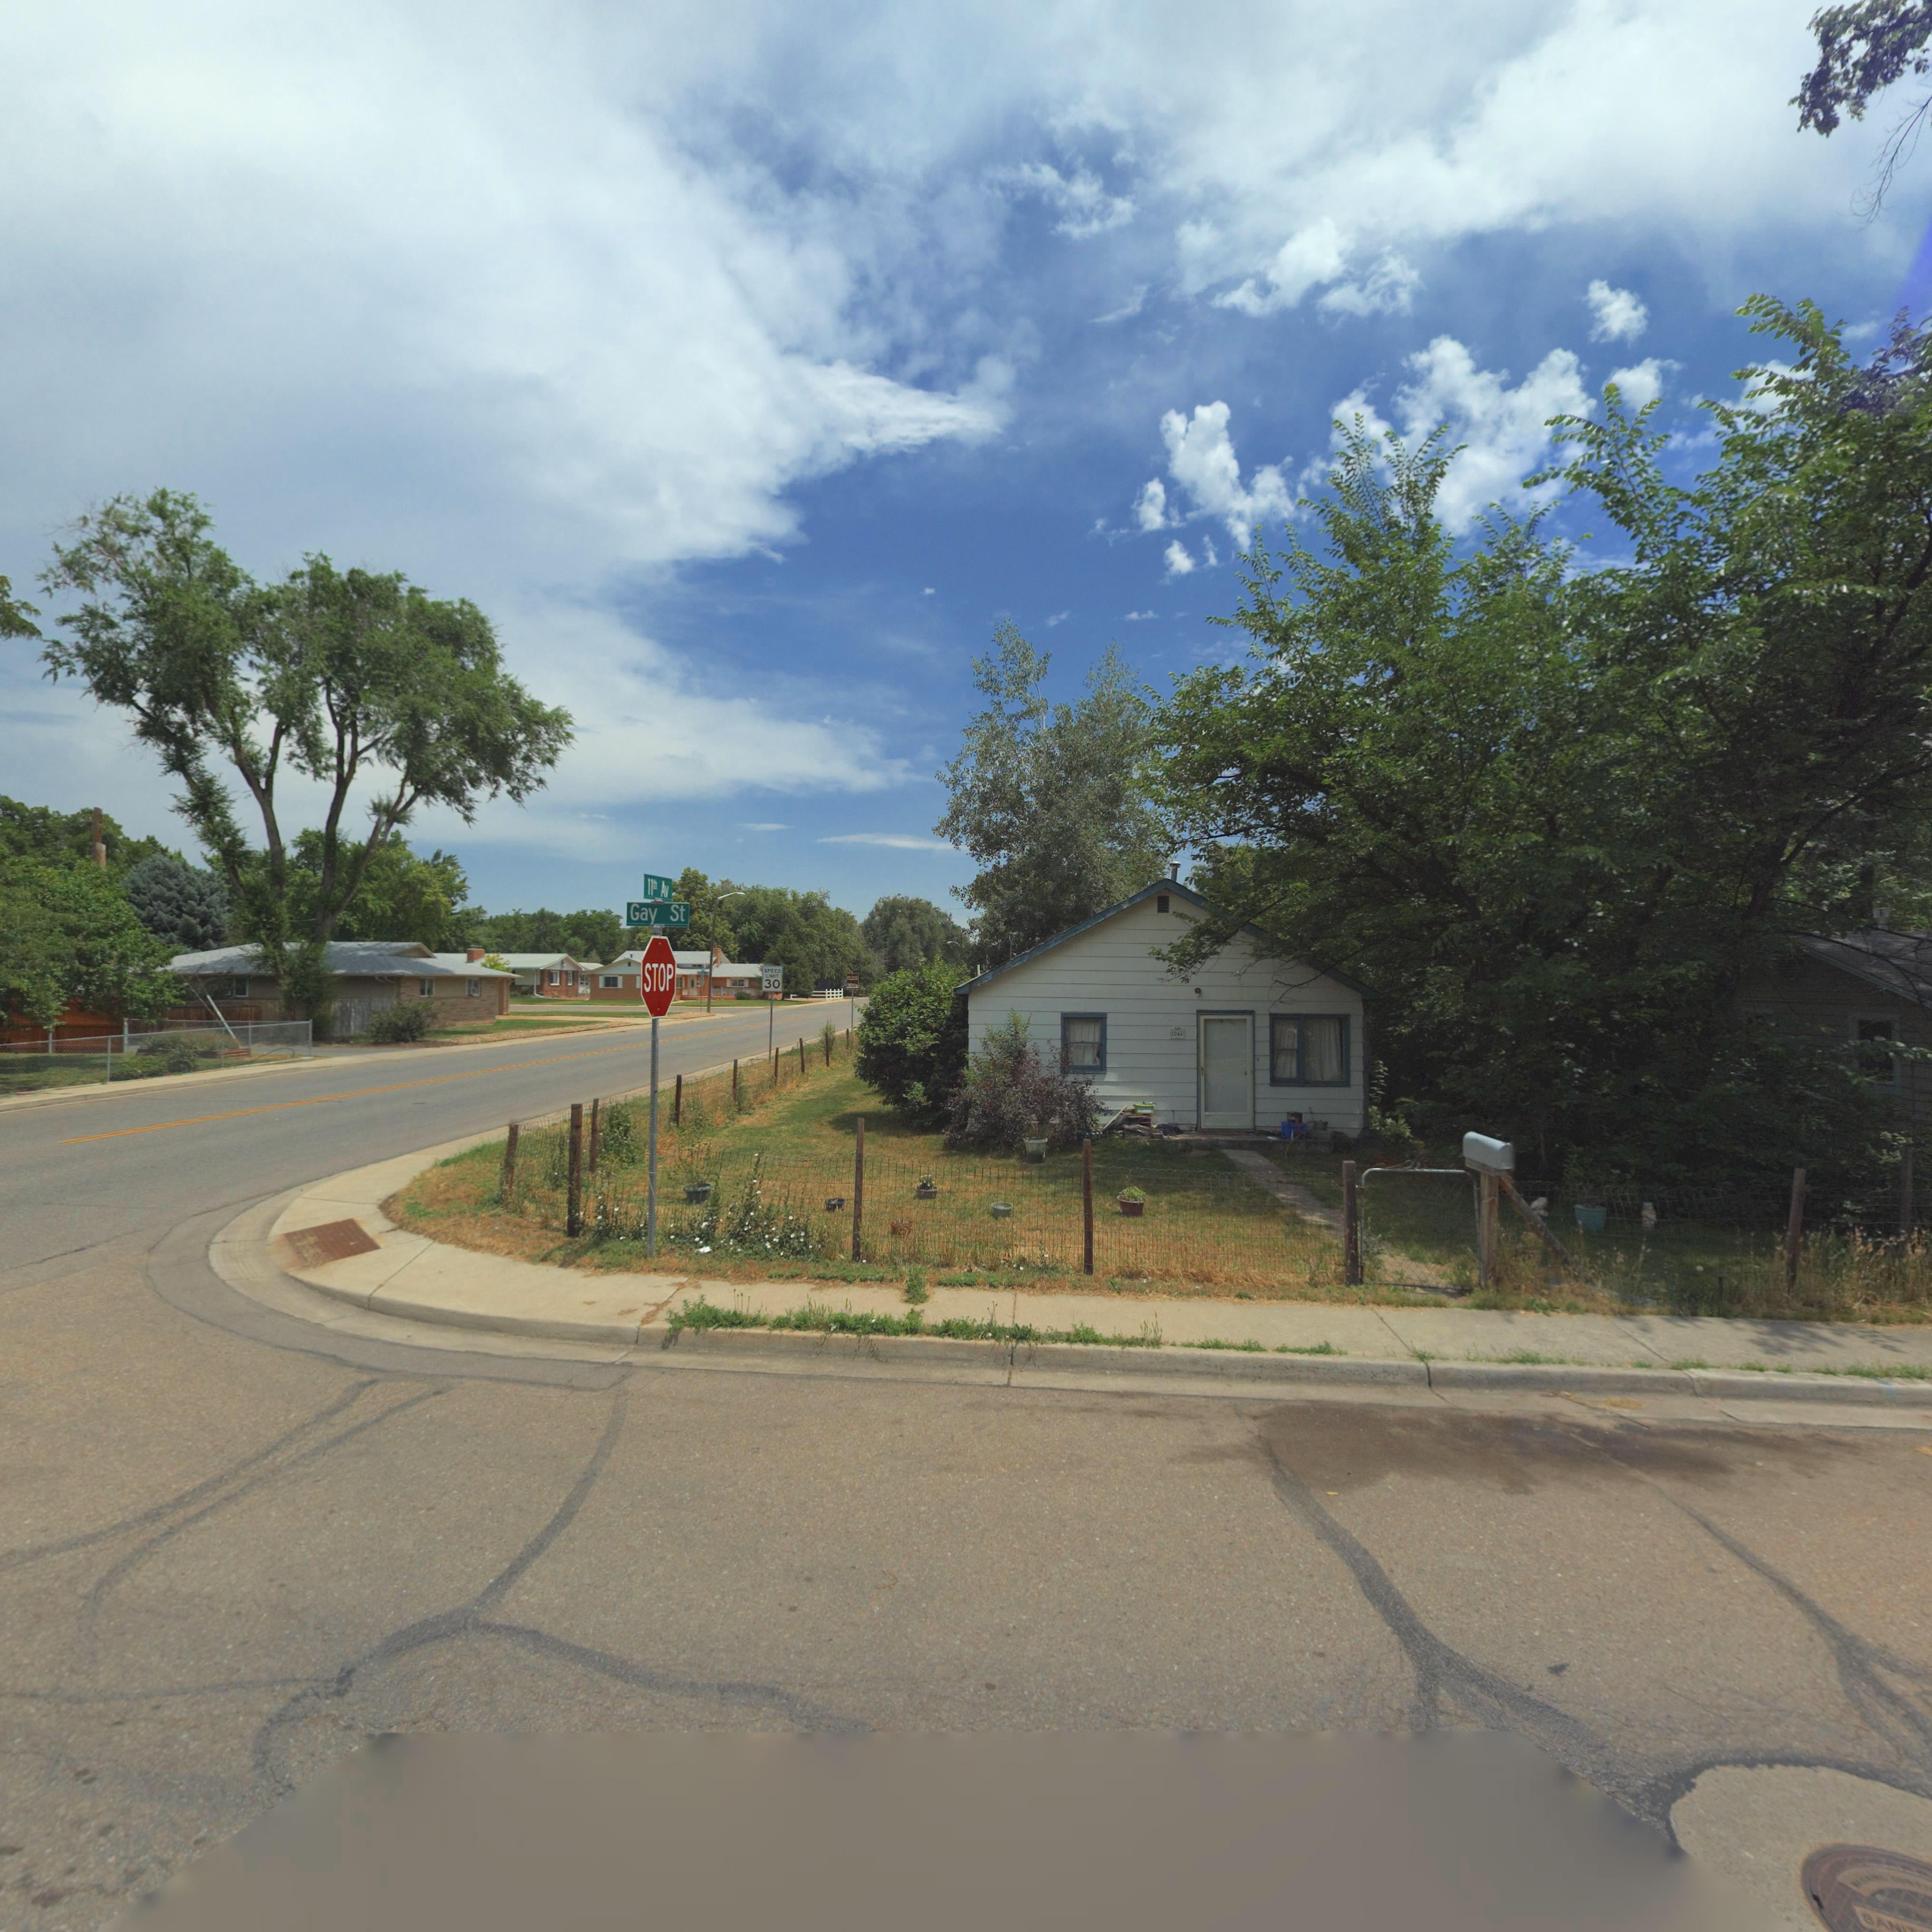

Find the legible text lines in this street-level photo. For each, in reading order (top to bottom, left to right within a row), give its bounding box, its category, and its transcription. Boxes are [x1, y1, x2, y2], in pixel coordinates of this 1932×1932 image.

[647, 877, 669, 898] StreetName: 11th Av
[629, 903, 686, 925] StreetName: Gay St
[1171, 1031, 1183, 1036] StreetNumber: 1046